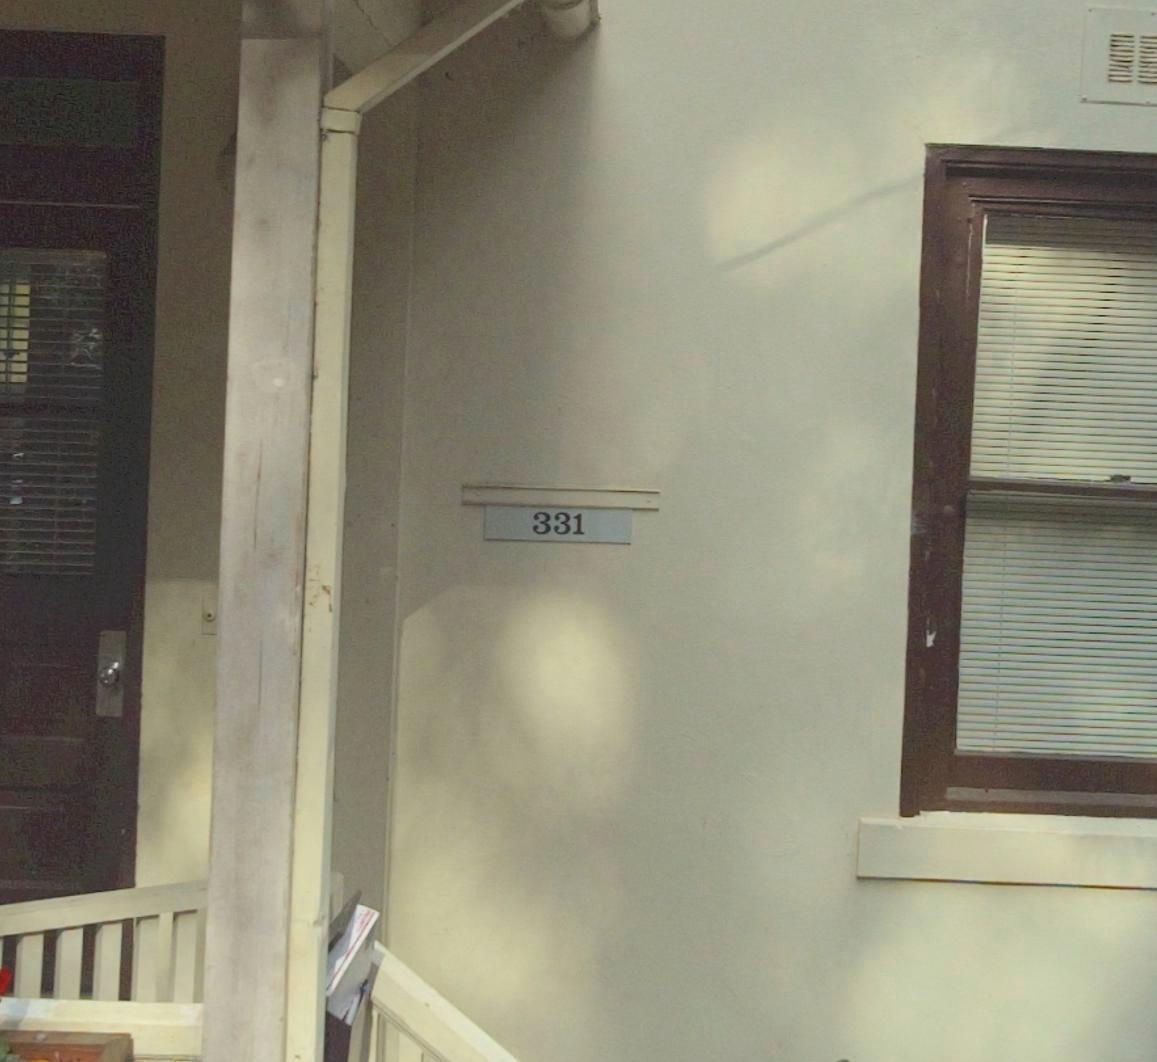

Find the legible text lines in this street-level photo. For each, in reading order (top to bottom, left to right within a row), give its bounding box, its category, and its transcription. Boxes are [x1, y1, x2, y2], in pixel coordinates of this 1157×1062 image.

[530, 510, 587, 536] StreetNumber: 331